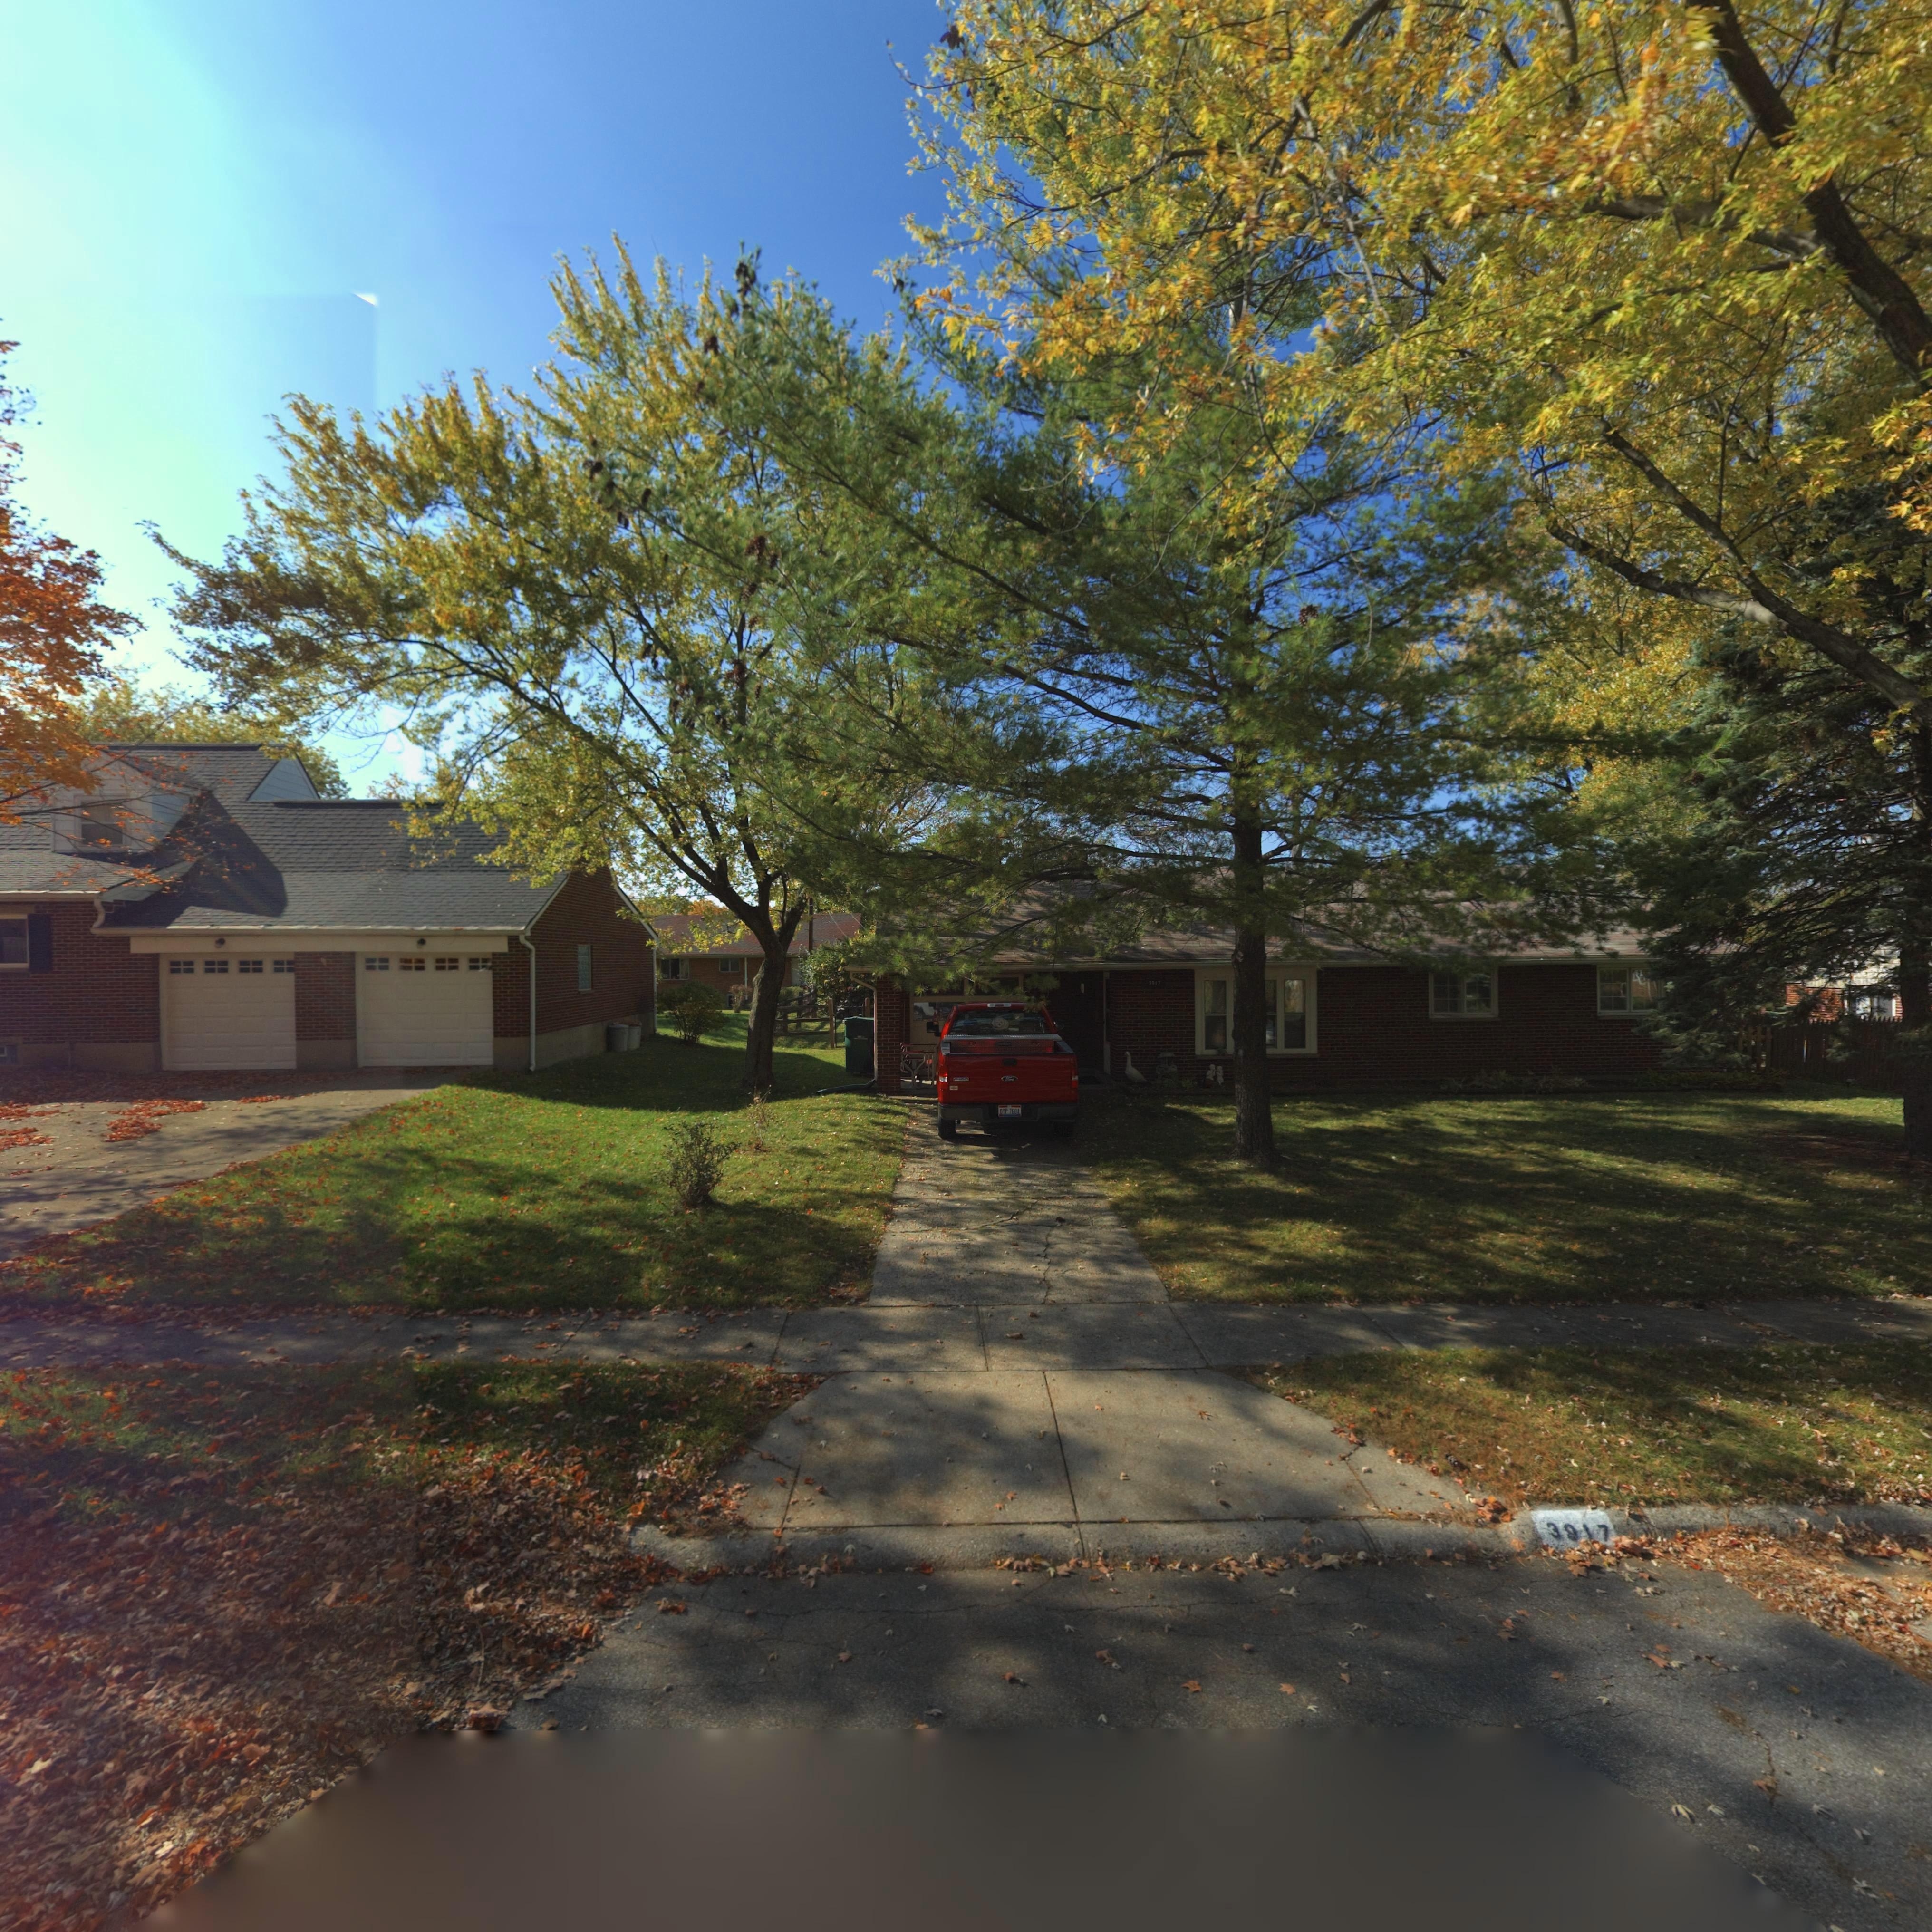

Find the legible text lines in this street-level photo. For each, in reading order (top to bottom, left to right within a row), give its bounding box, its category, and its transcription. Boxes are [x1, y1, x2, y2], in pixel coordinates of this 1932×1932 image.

[1148, 980, 1160, 986] StreetNumber: 3917
[999, 1108, 1020, 1115] None: *YP*7684